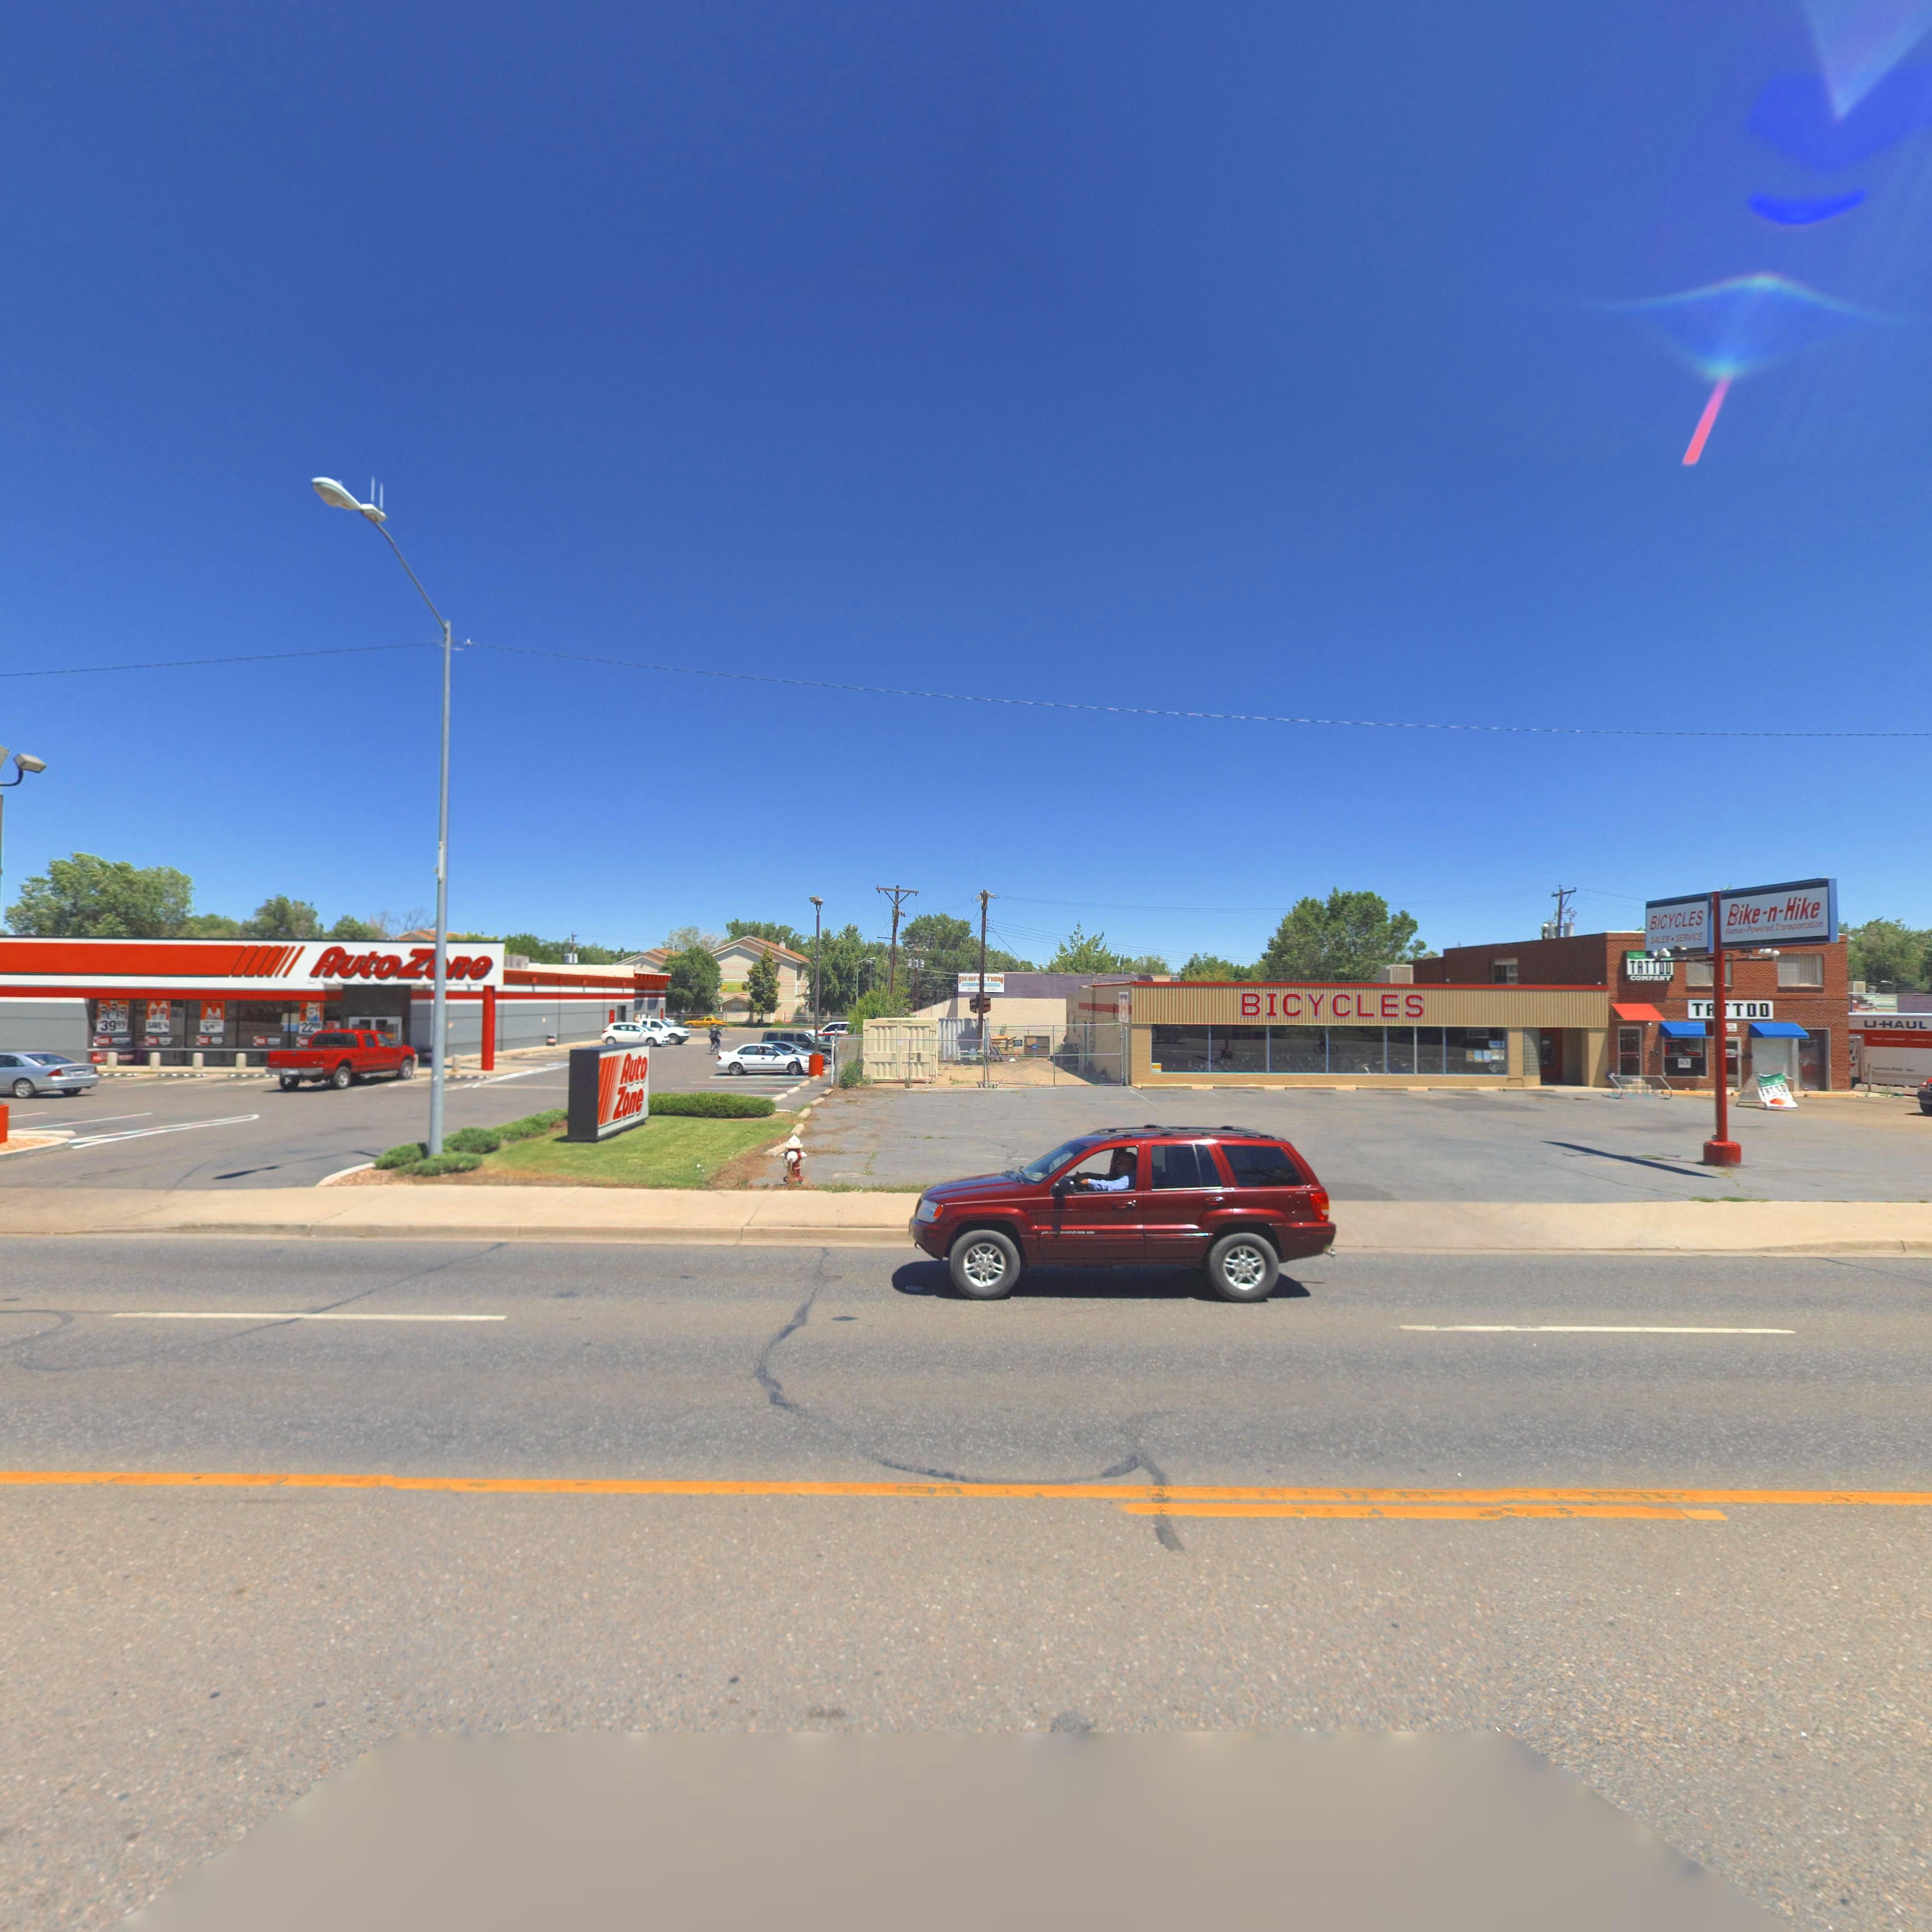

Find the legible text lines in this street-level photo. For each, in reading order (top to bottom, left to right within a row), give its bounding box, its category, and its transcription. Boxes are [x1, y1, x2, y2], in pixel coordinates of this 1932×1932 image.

[1727, 896, 1822, 927] BusinessName: Bike-n-Hike
[1724, 919, 1825, 937] None: Human-Powered Transportation
[306, 944, 493, 980] BusinessName: AutoZ*ne
[962, 983, 976, 985] BusinessName: AUTO
[958, 976, 1004, 985] BusinessName: PERF**TION
[985, 984, 1000, 986] BusinessName: BODY
[618, 1052, 648, 1085] BusinessName: Auto
[611, 1084, 644, 1121] BusinessName: Zone